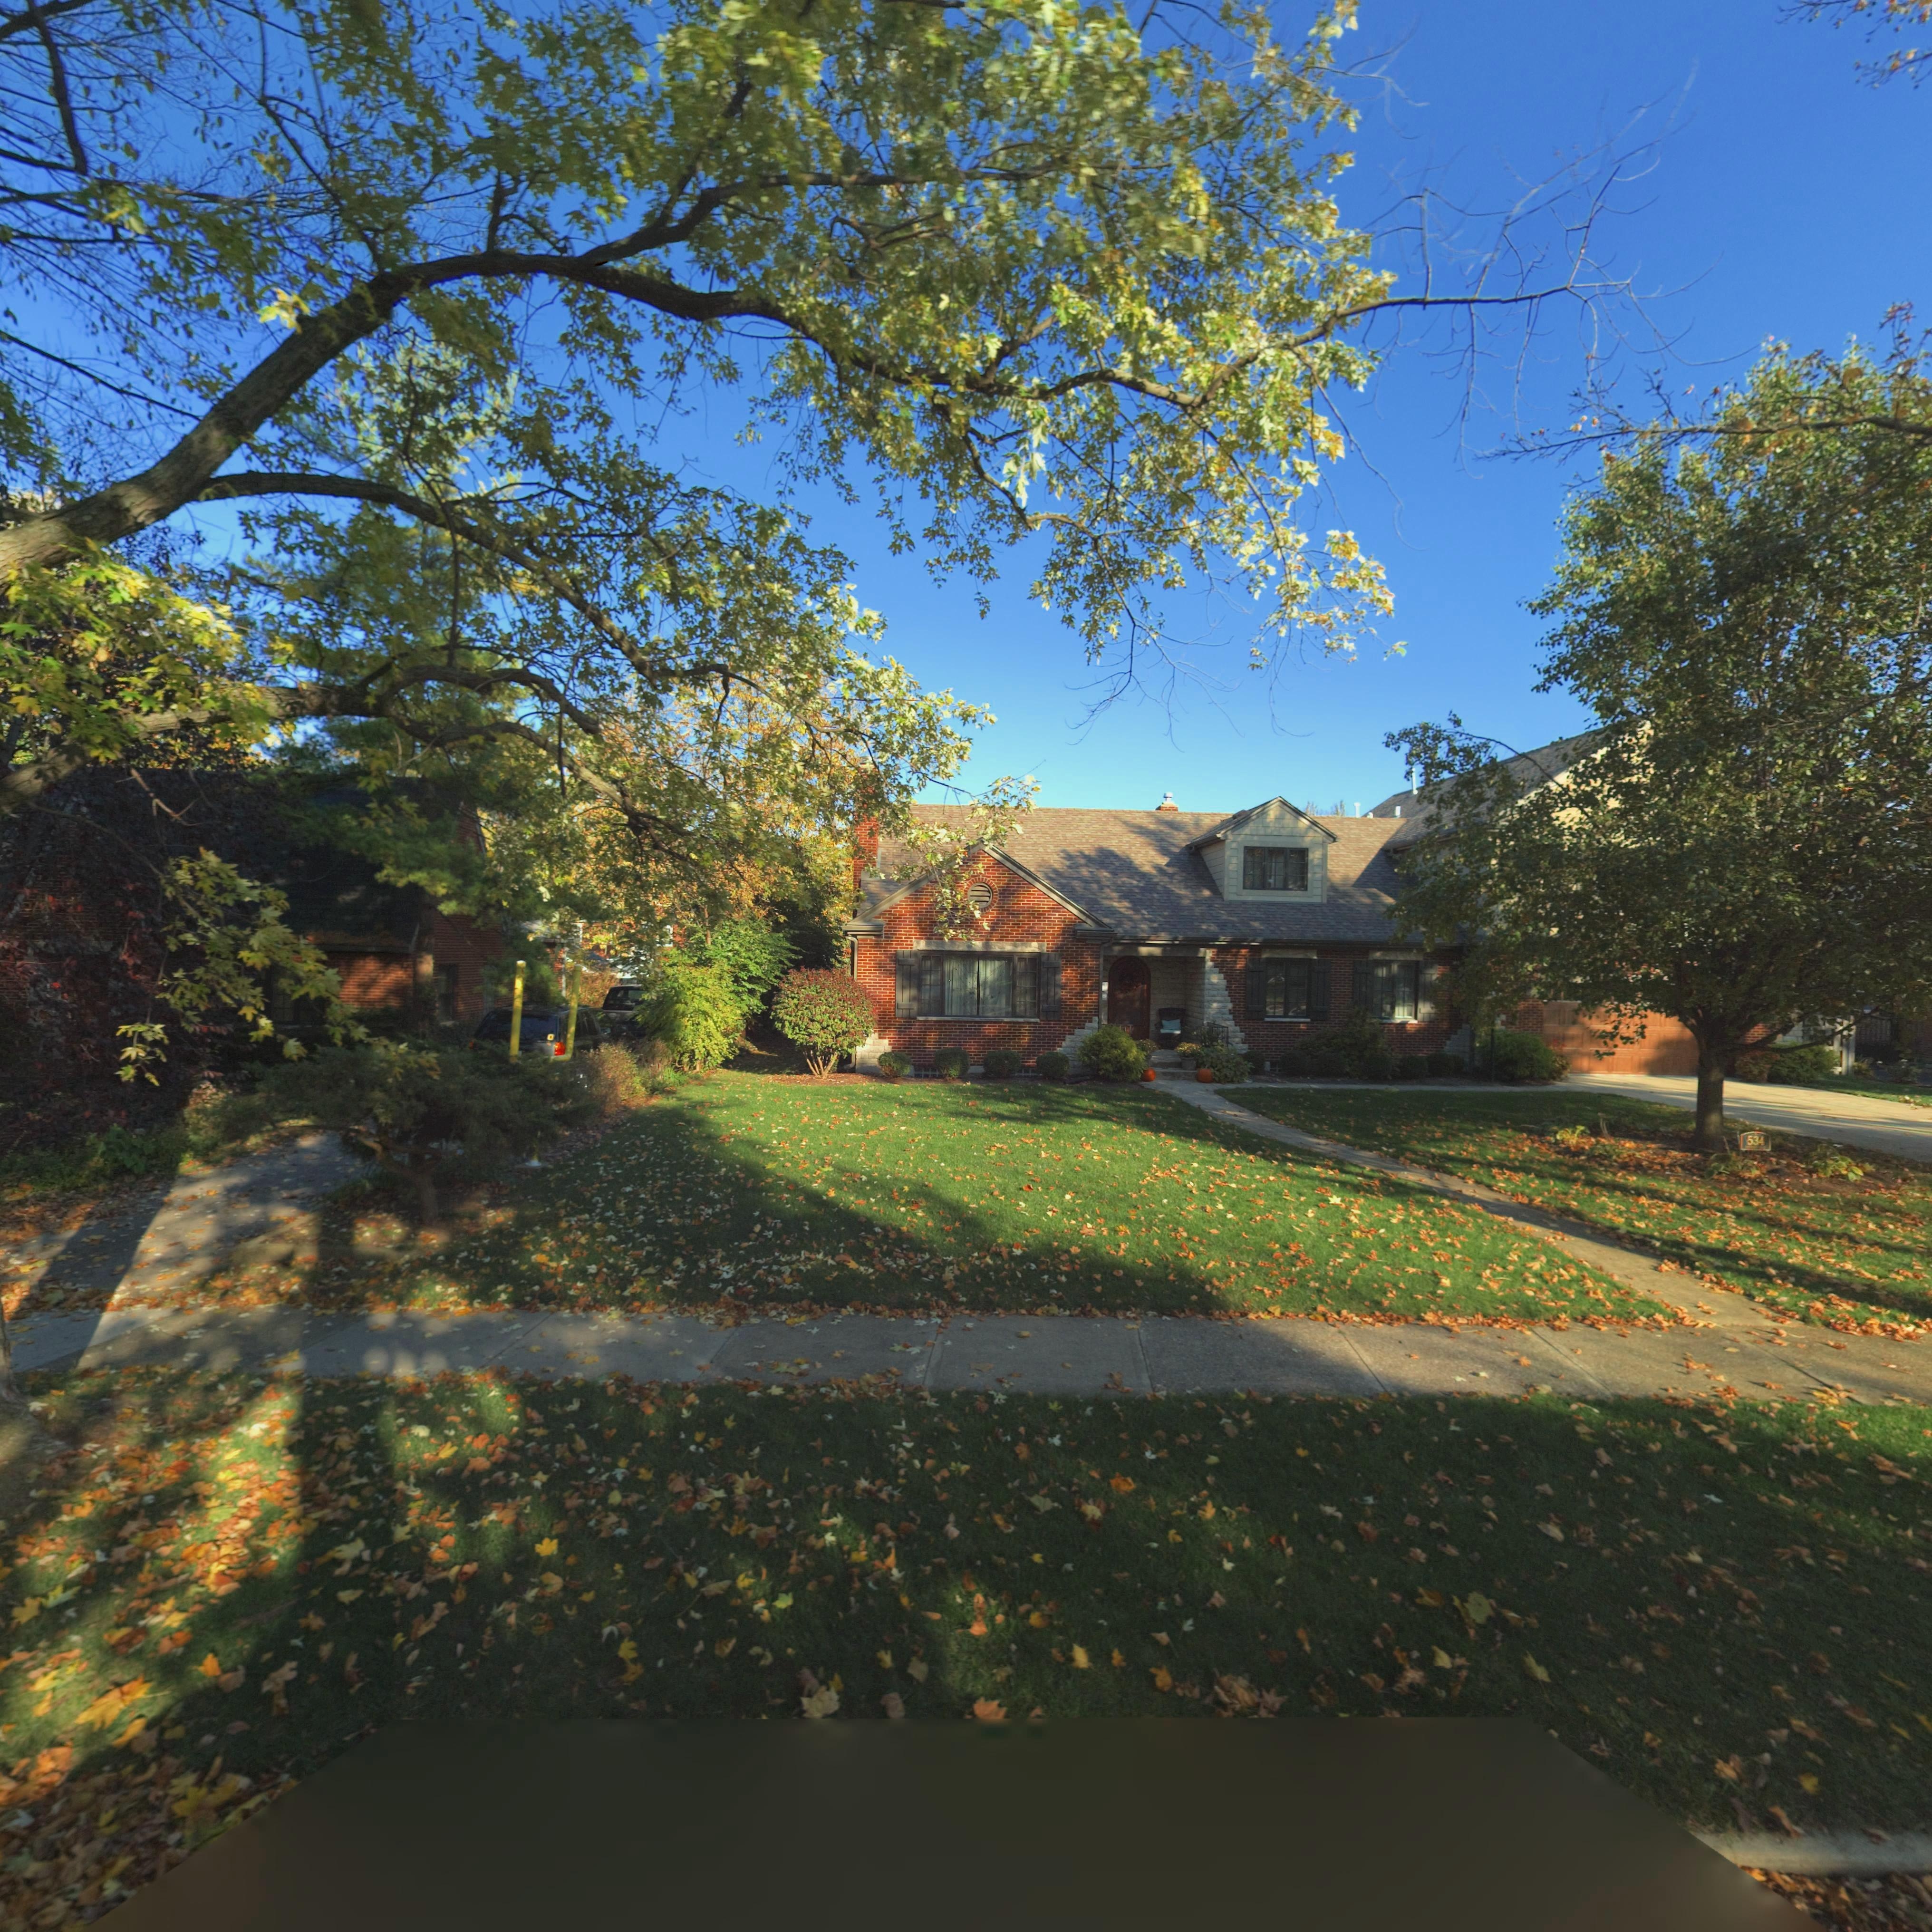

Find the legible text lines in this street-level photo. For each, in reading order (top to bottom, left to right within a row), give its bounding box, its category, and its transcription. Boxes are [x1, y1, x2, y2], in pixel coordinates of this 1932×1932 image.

[1747, 1135, 1765, 1146] StreetNumber: 534